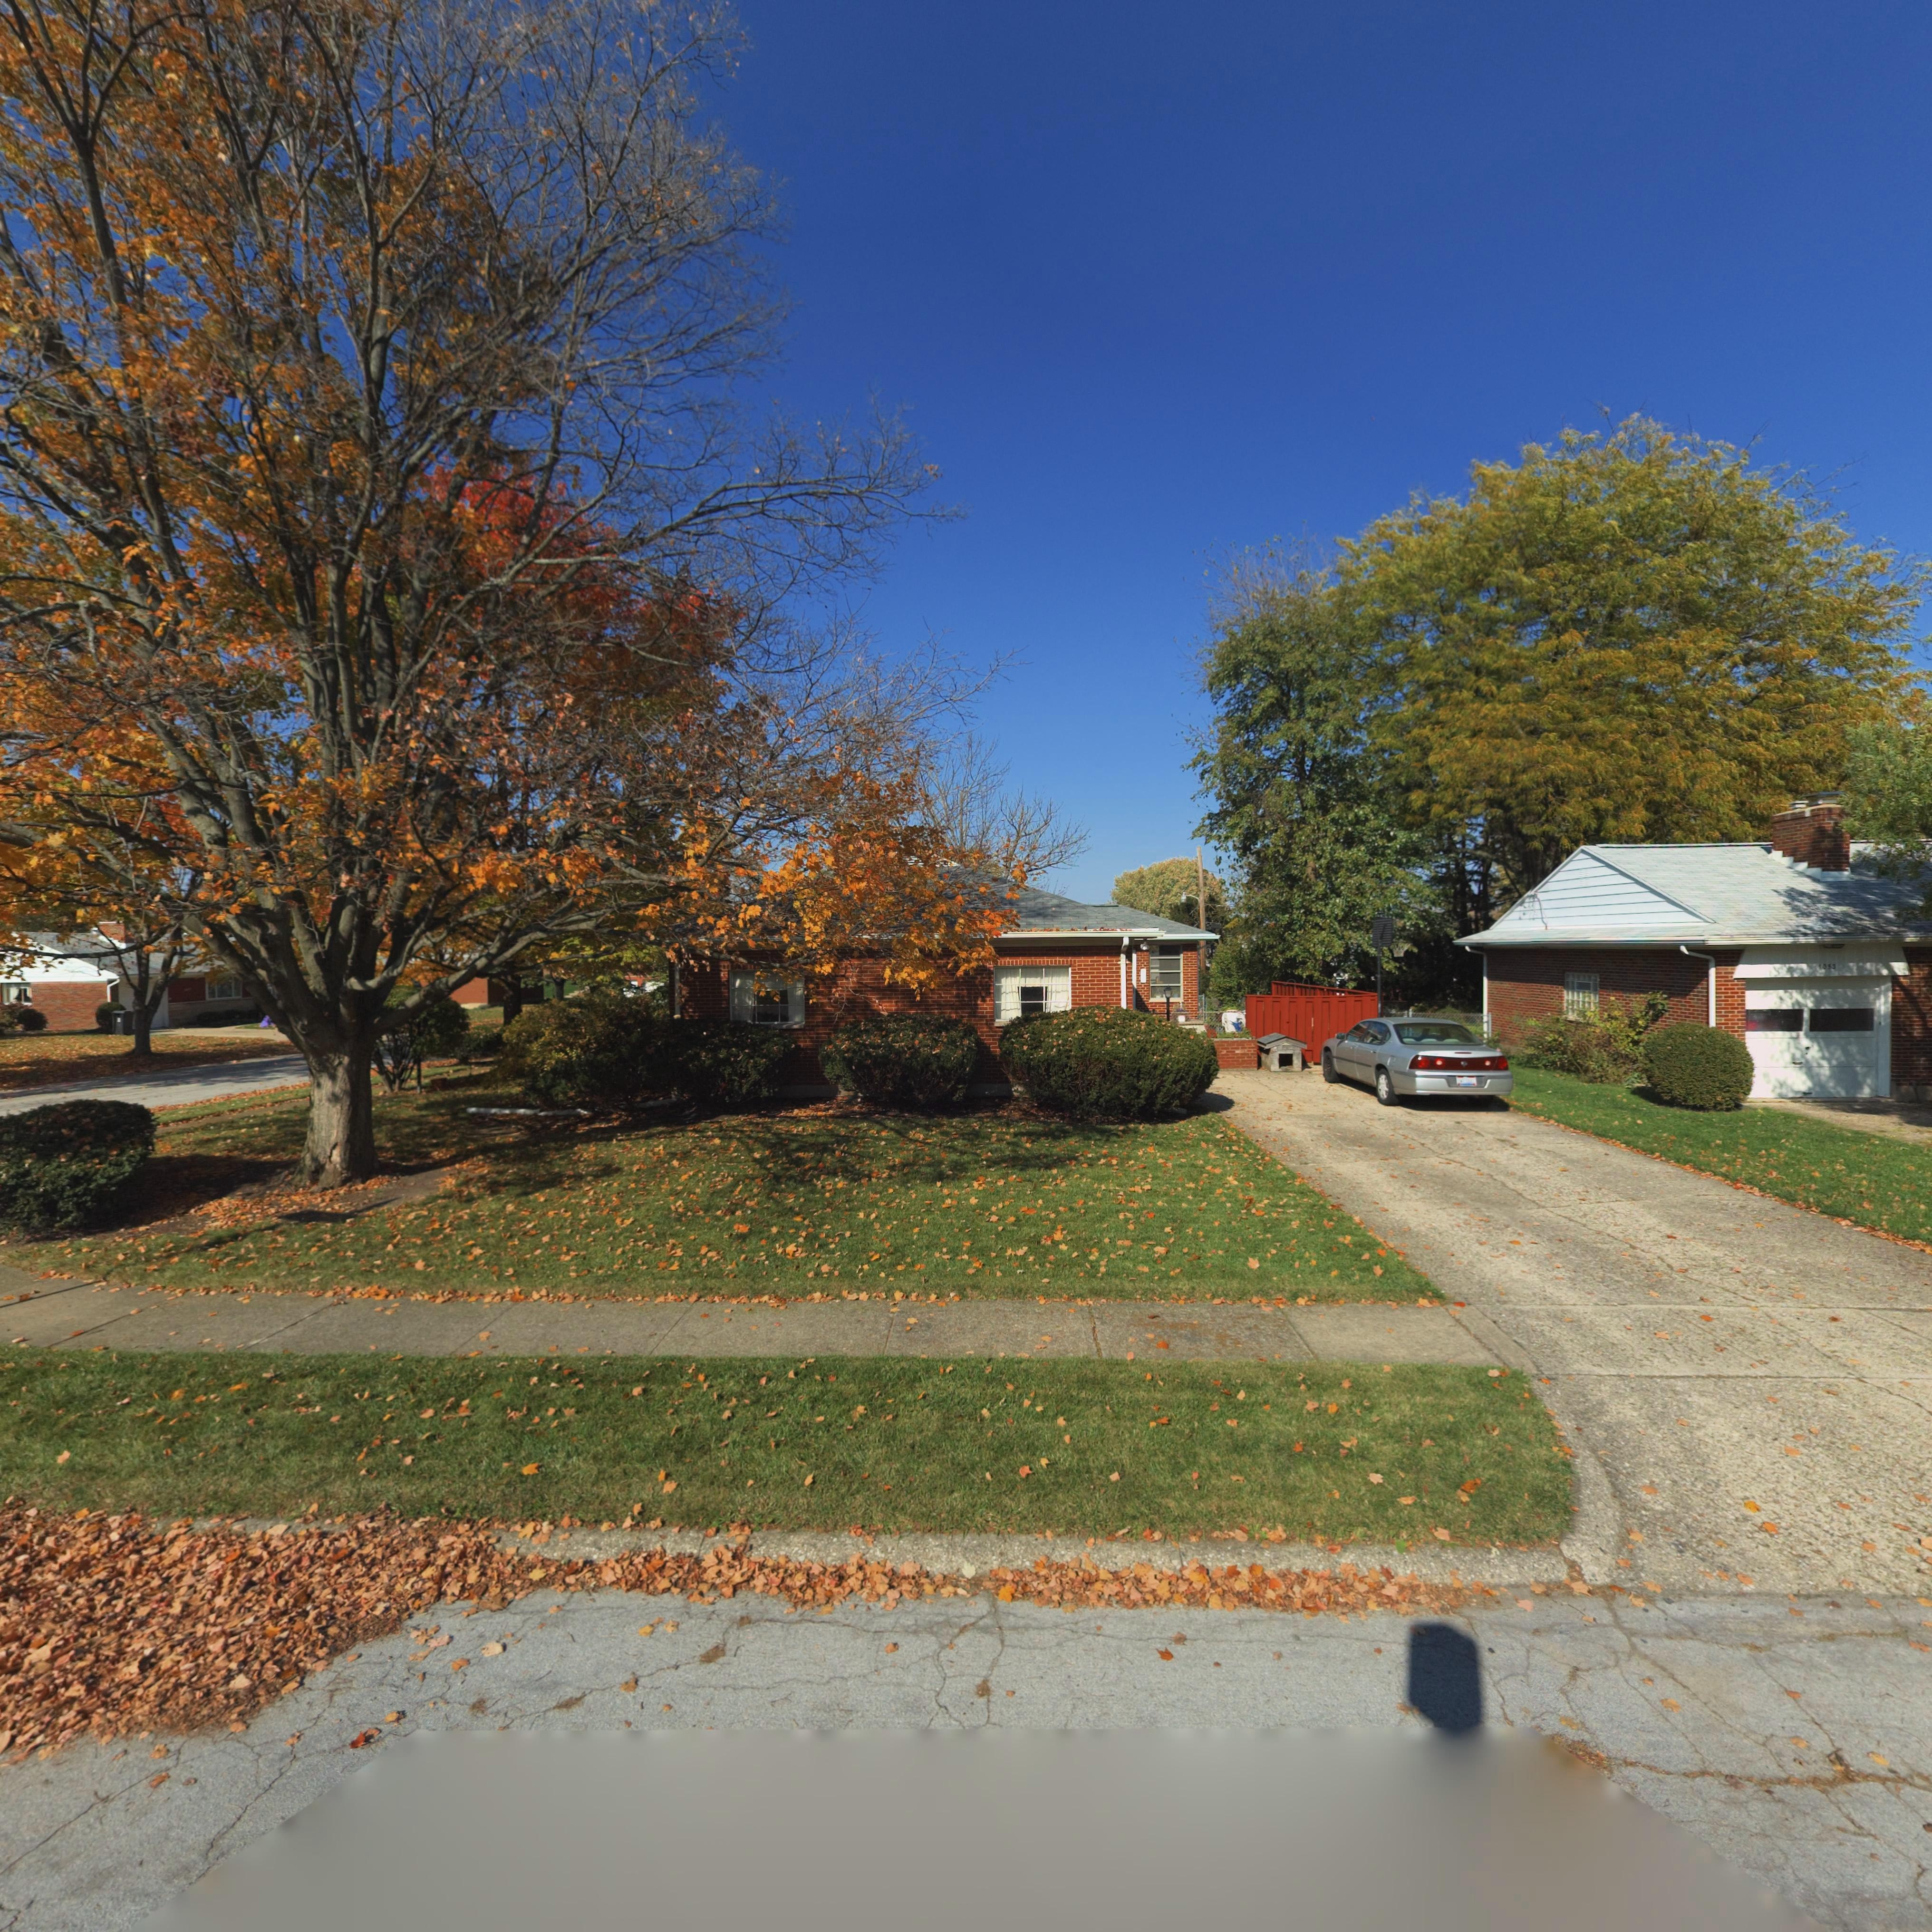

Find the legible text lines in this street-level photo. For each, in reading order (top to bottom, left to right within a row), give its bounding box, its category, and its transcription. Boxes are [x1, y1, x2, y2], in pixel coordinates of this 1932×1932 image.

[1818, 963, 1836, 970] StreetNumber: 1053